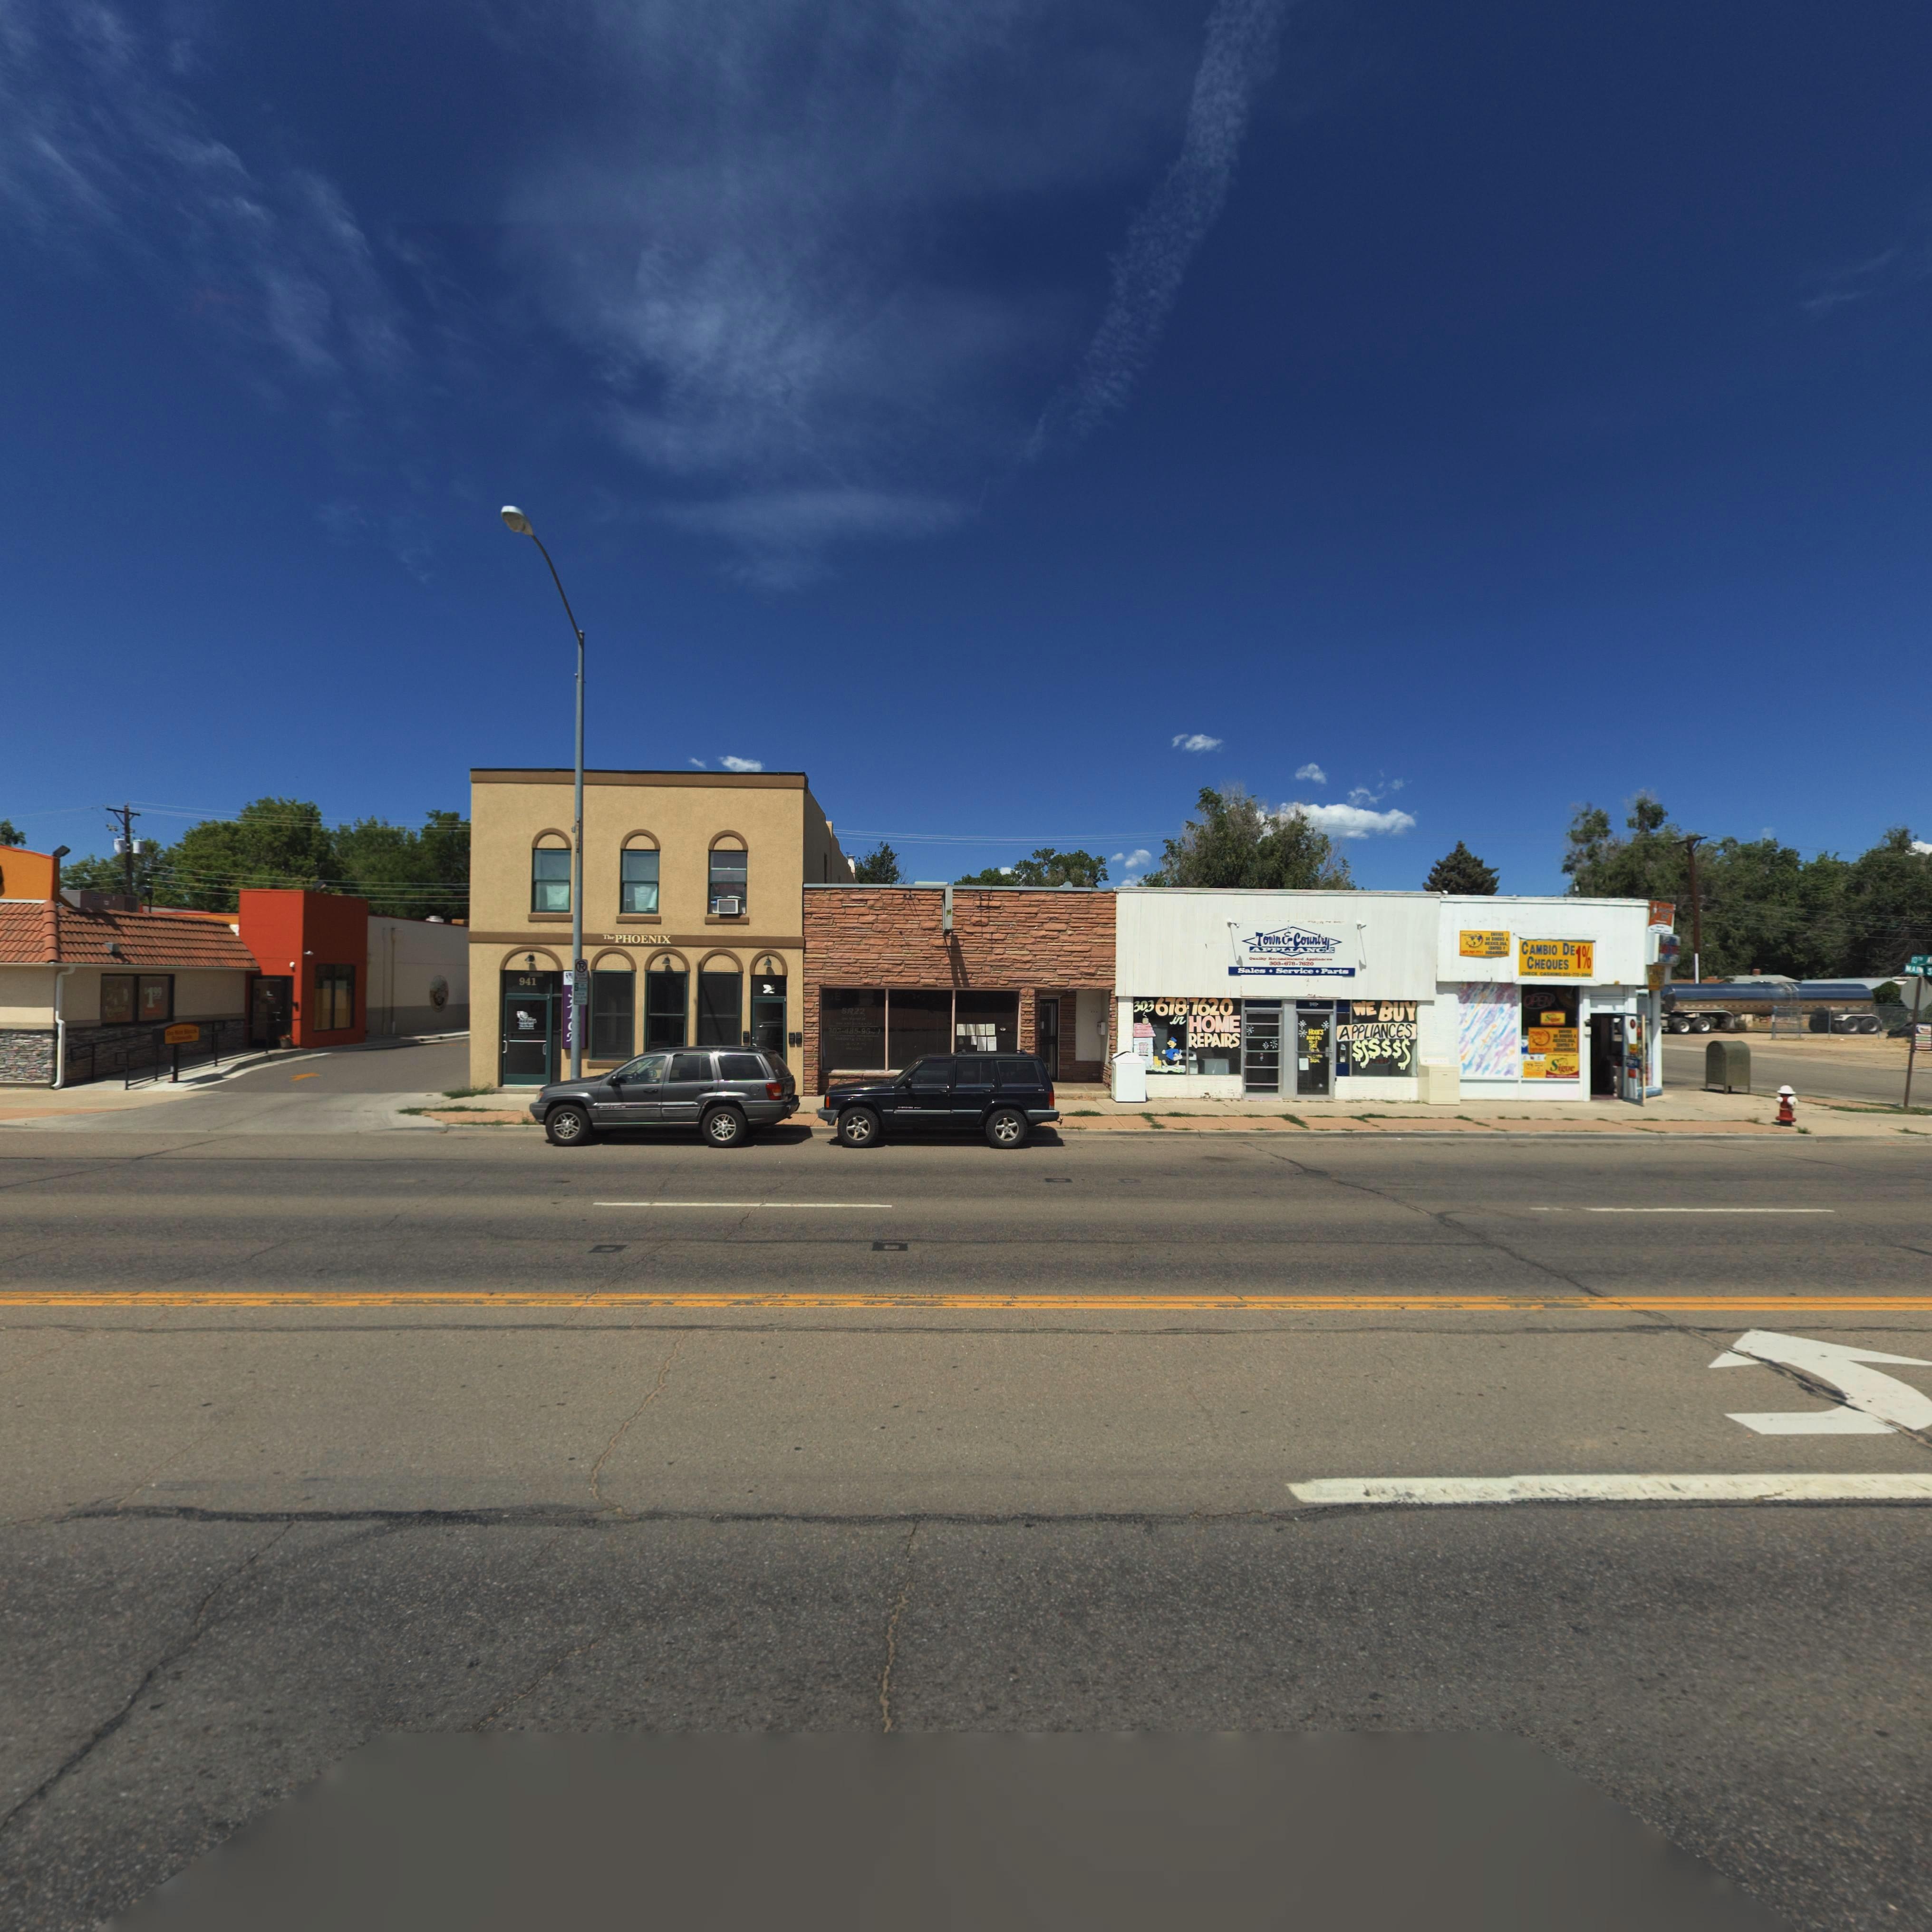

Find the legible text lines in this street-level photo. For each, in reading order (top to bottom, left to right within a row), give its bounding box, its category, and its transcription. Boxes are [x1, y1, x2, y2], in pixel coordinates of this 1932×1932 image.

[603, 934, 671, 944] BusinessName: The PHOENIX
[1256, 931, 1329, 950] BusinessName: Town&Country
[1249, 947, 1334, 953] BusinessName: APPLIANCE
[1910, 956, 1923, 964] StreetName: 10TH
[1905, 965, 1924, 974] StreetName: MAIN
[519, 977, 536, 985] StreetNumber: 941